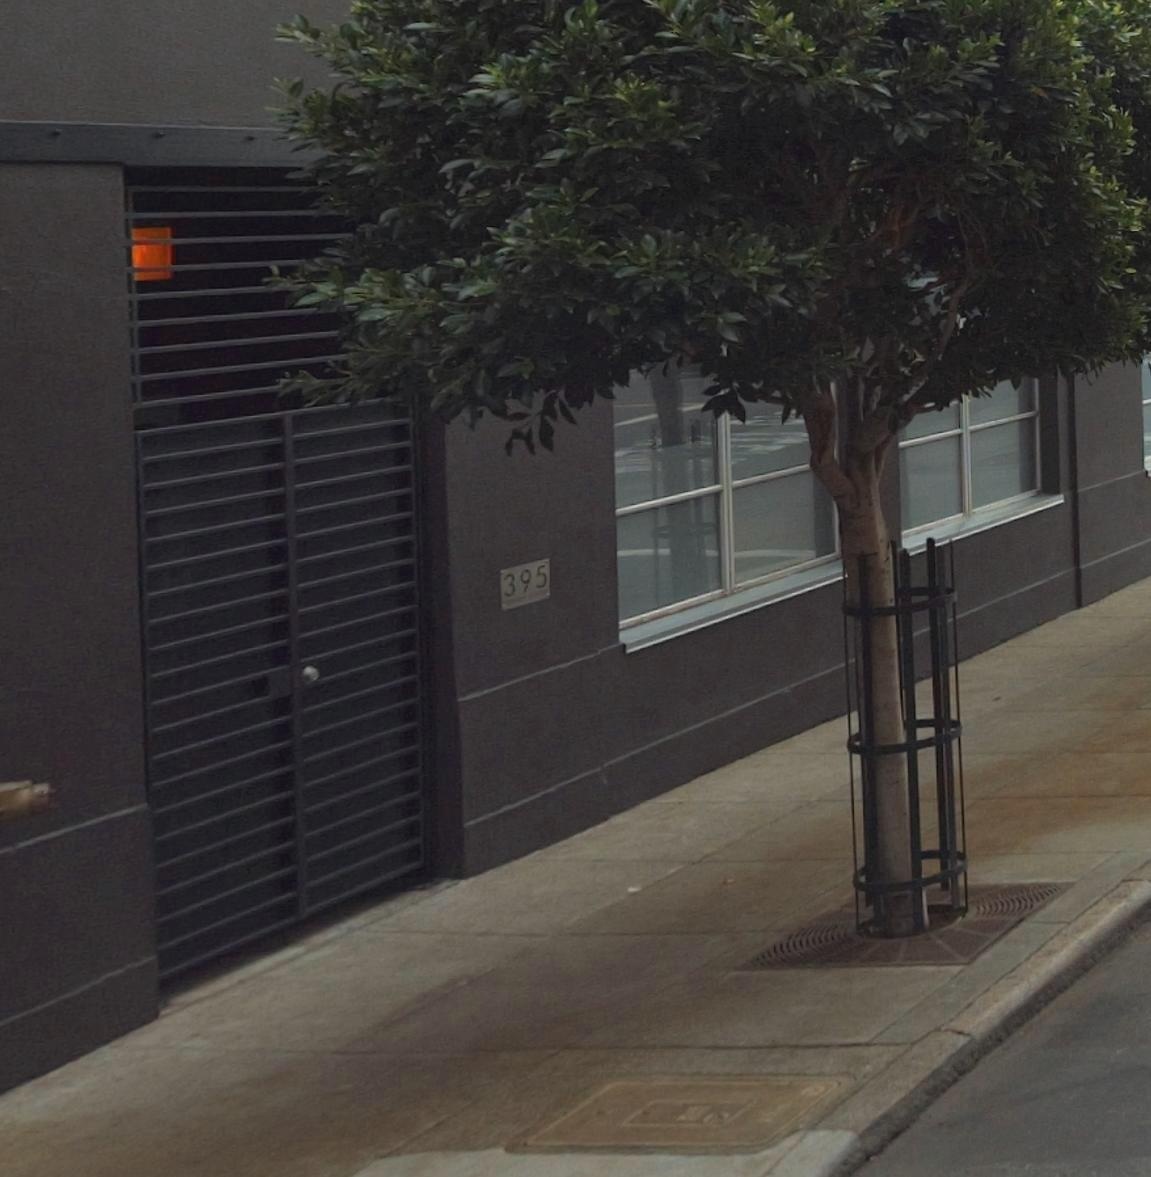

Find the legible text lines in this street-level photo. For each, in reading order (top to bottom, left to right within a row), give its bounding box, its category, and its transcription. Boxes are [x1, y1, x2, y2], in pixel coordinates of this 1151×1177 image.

[501, 561, 550, 600] StreetNumber: 395